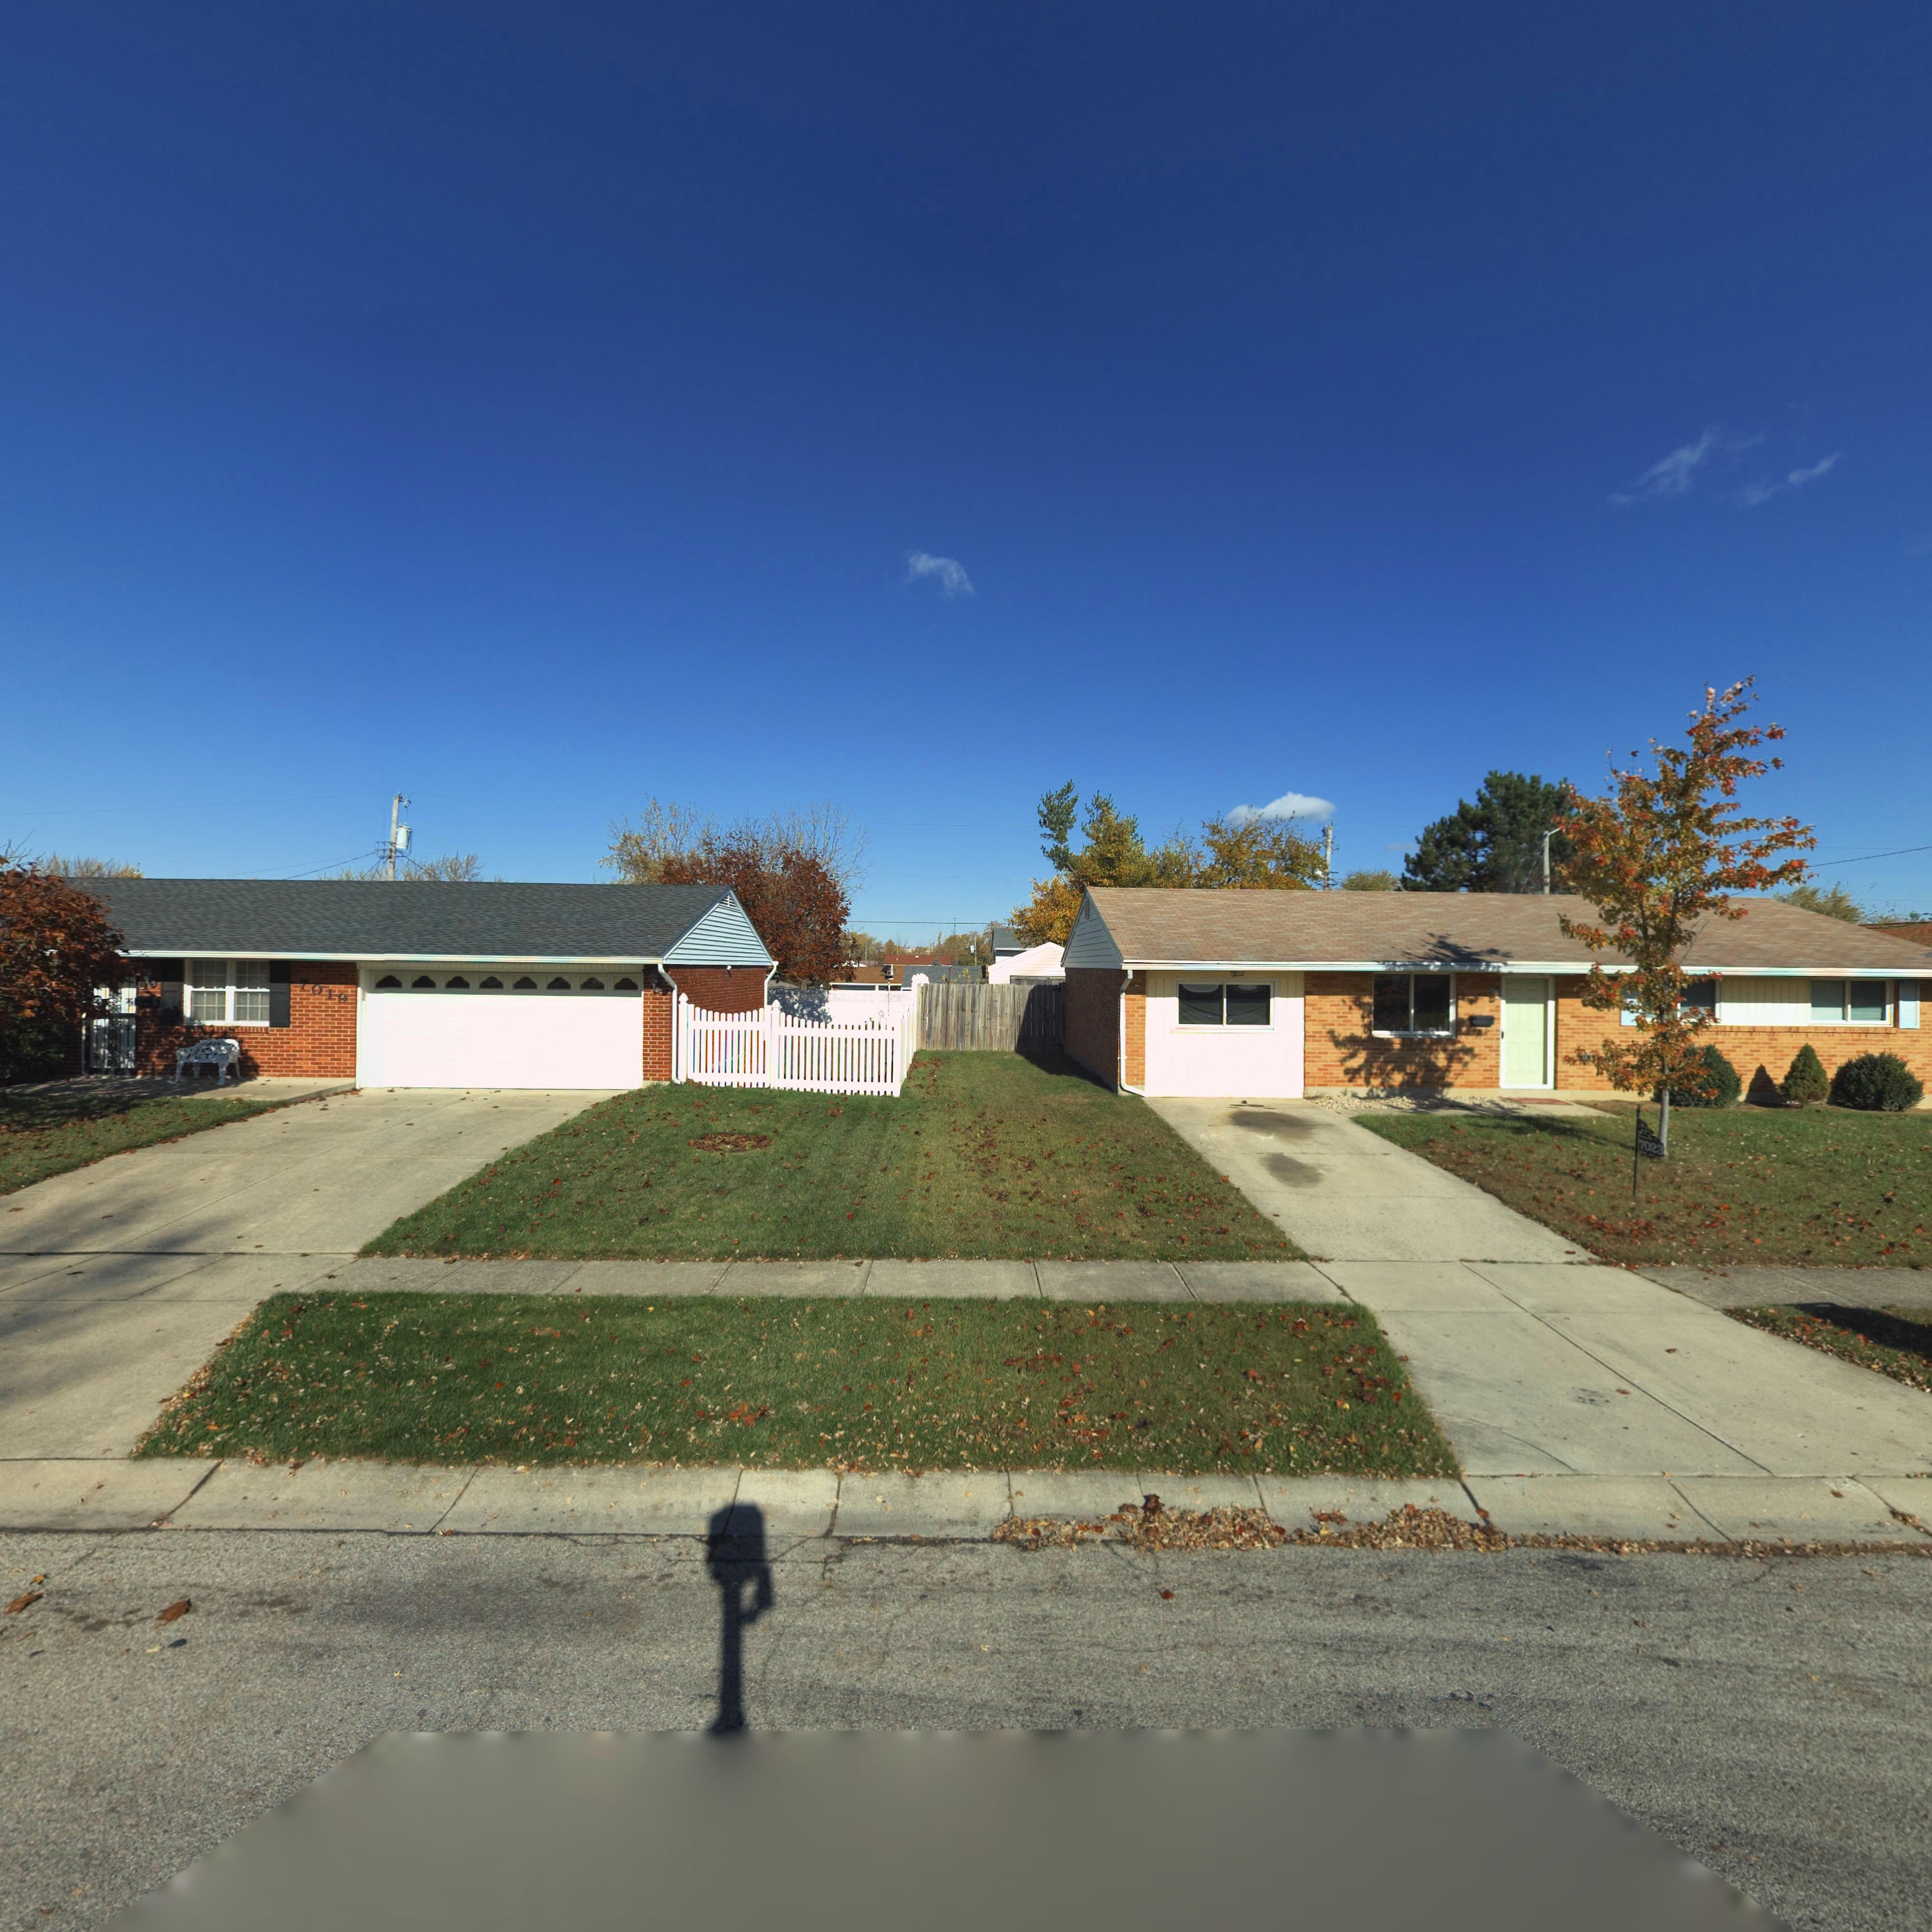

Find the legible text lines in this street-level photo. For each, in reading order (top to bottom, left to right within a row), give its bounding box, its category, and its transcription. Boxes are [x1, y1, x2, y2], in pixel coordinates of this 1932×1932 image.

[299, 979, 348, 1005] StreetNumber: 7019
[1638, 1139, 1663, 1156] StreetNumber: 7023